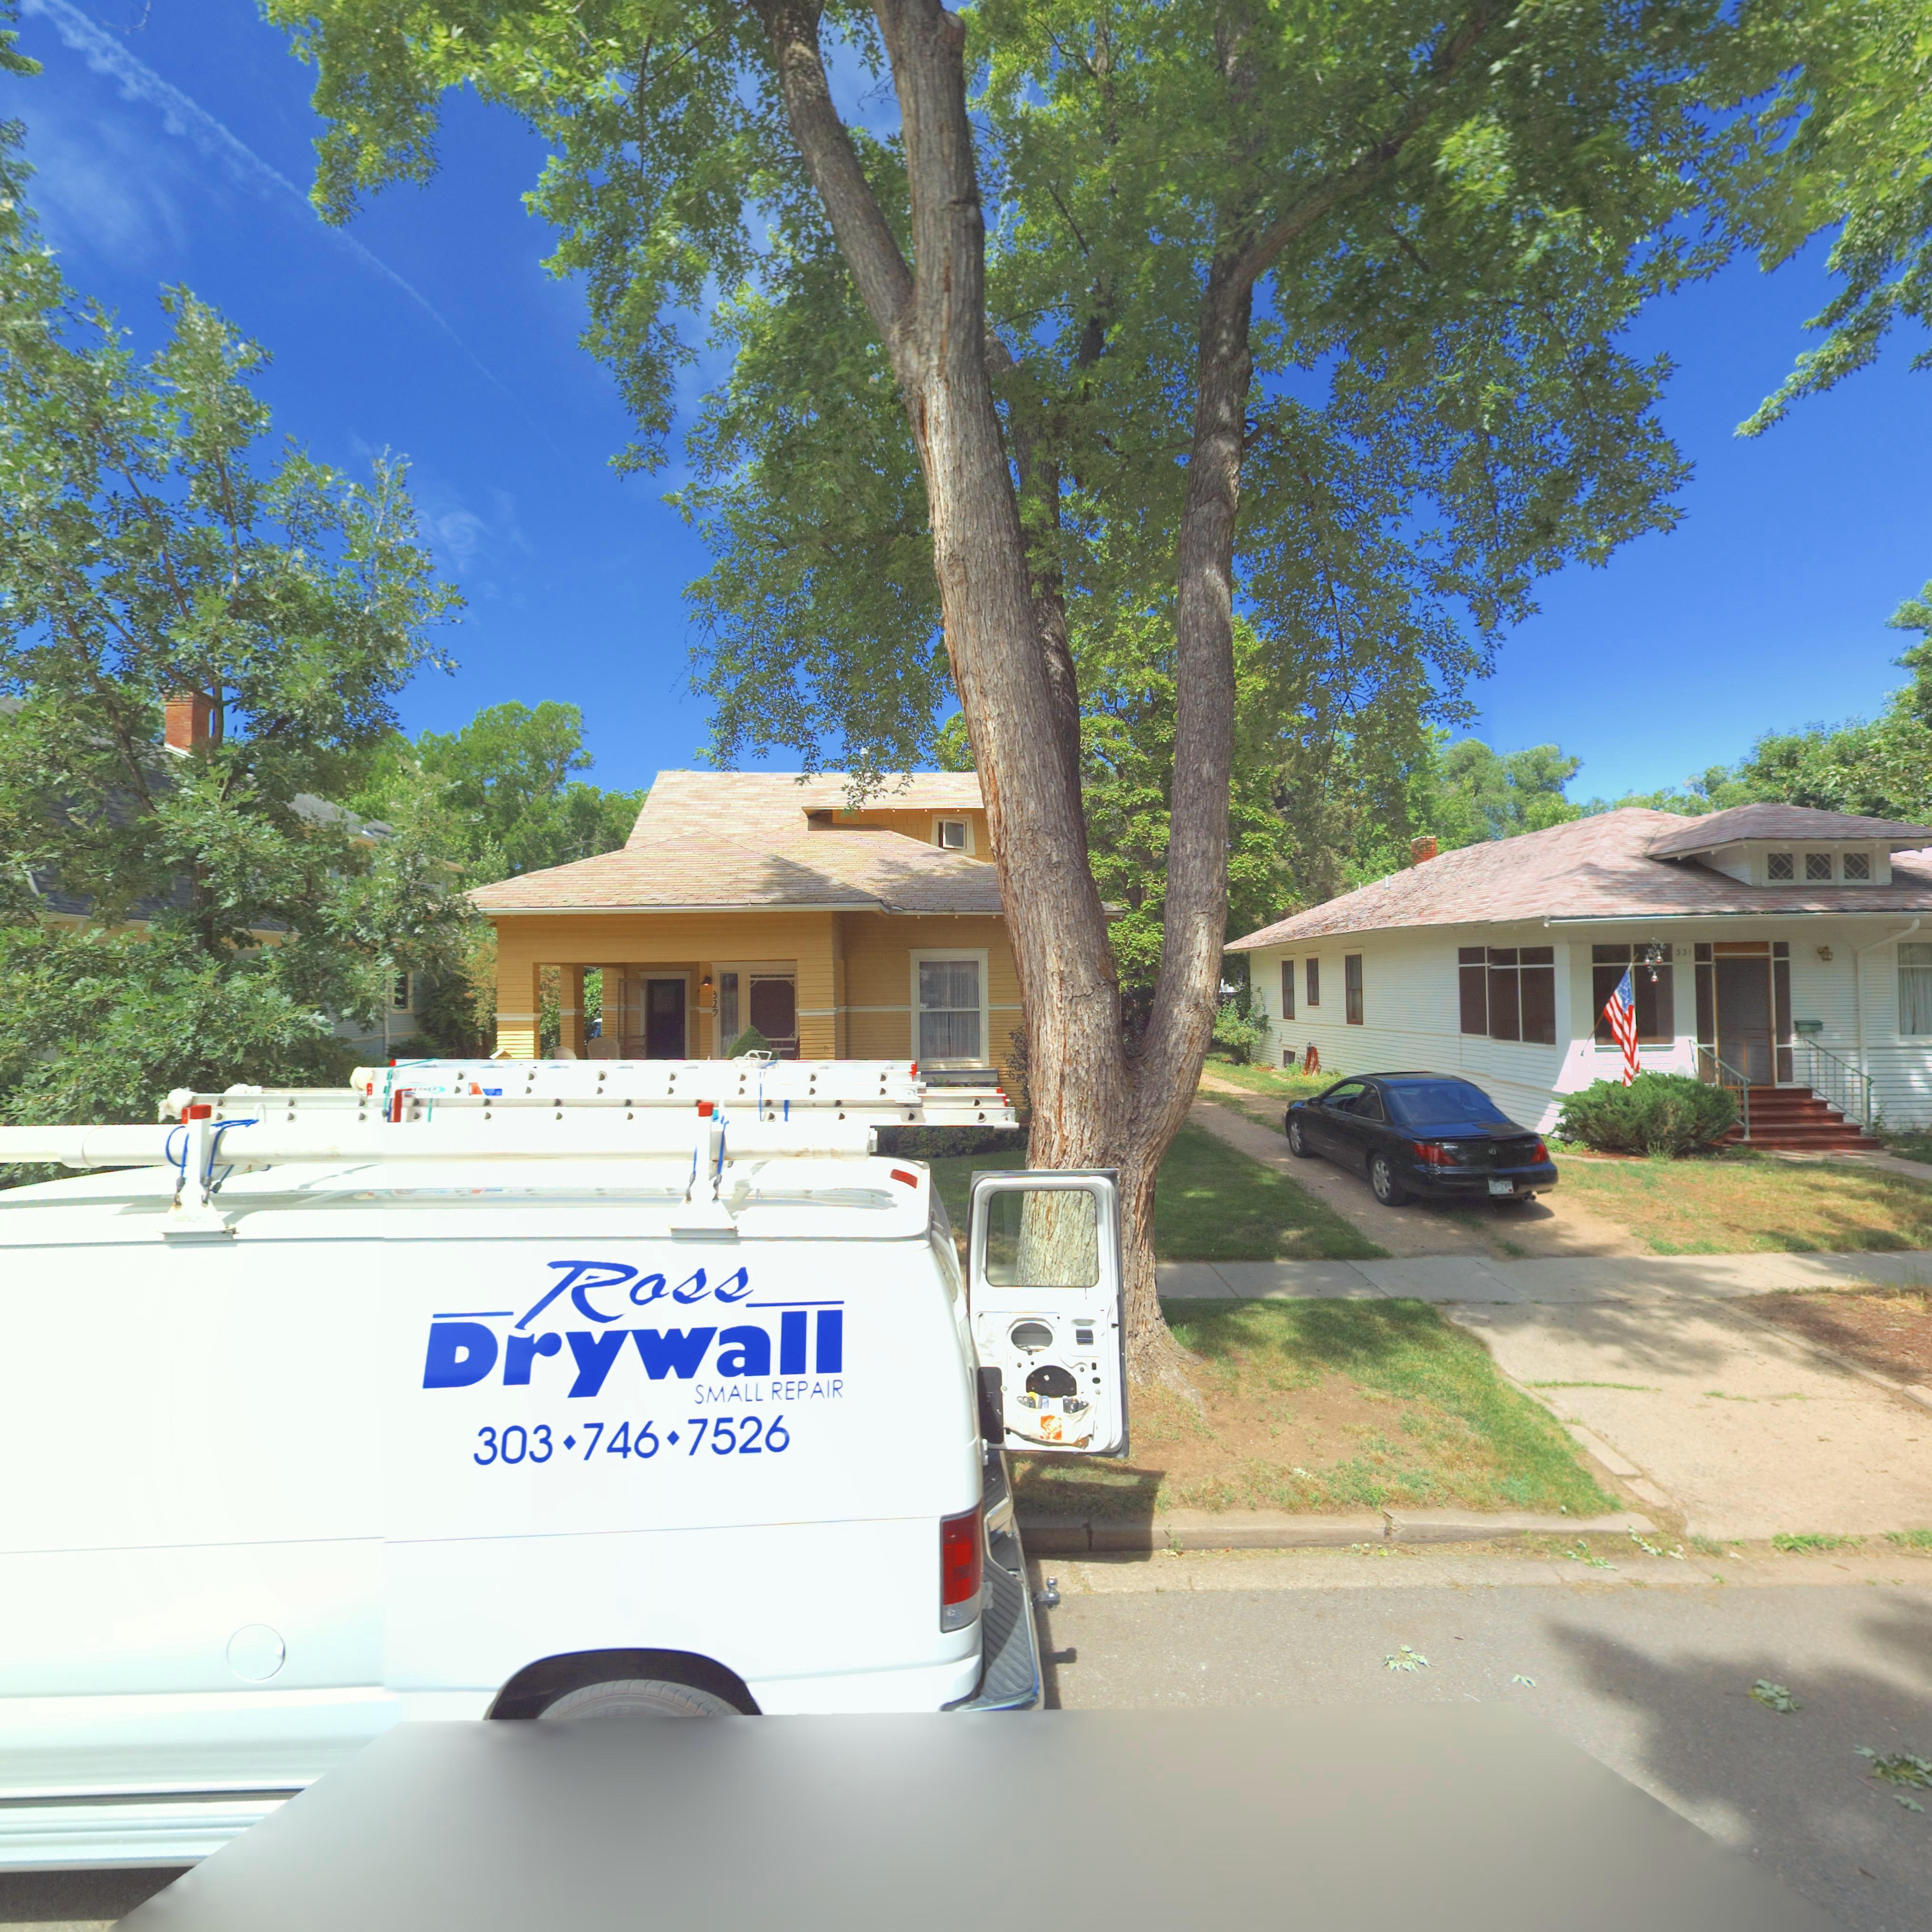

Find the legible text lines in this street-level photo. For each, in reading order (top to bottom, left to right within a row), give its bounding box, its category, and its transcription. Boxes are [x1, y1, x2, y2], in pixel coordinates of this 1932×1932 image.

[1675, 948, 1691, 956] StreetNumber: 331
[712, 990, 717, 1017] StreetNumber: 329